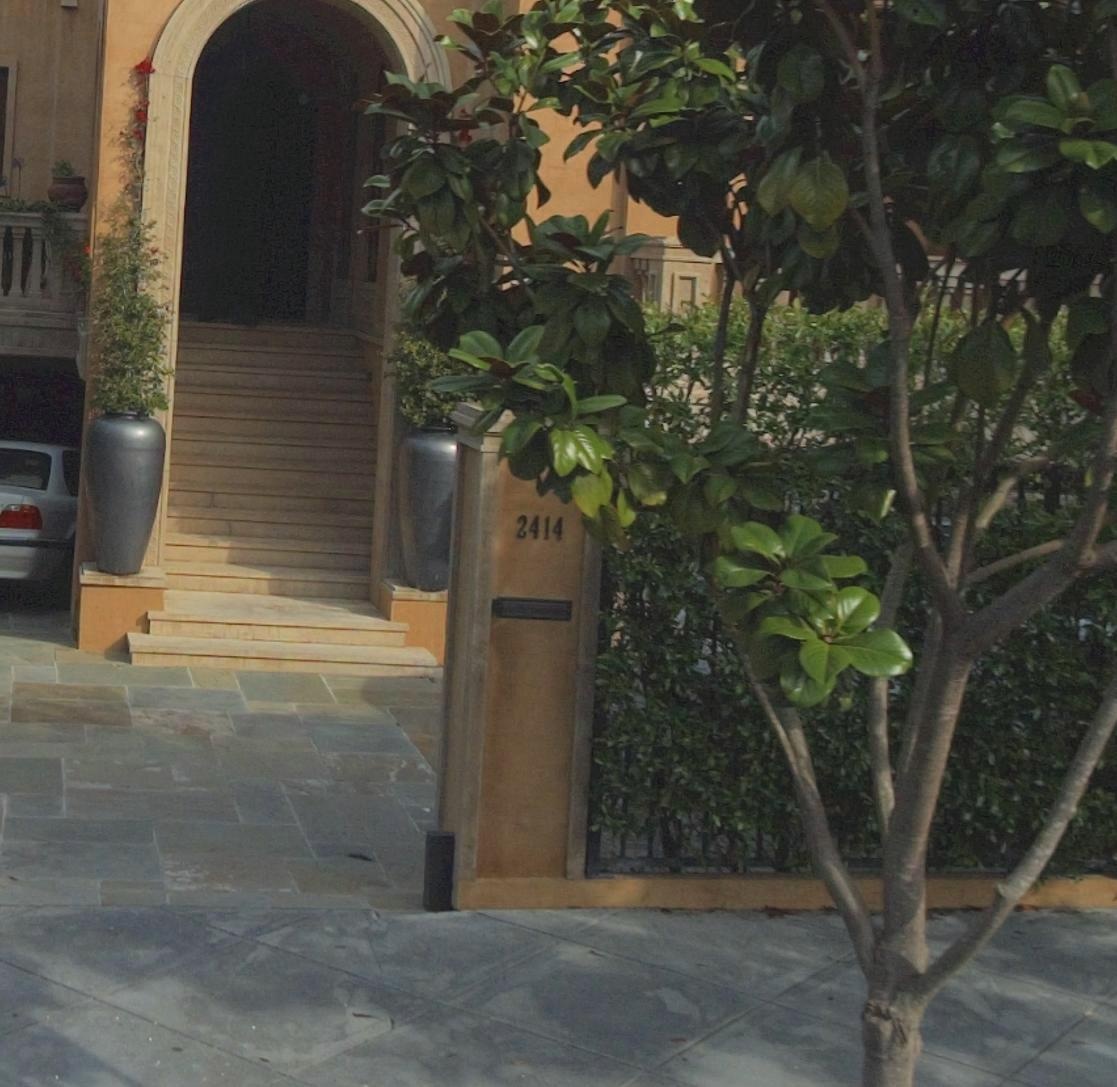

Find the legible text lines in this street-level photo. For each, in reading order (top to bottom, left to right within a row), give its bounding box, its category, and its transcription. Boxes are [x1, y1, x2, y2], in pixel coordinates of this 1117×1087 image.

[512, 510, 568, 545] StreetNumber: 2414